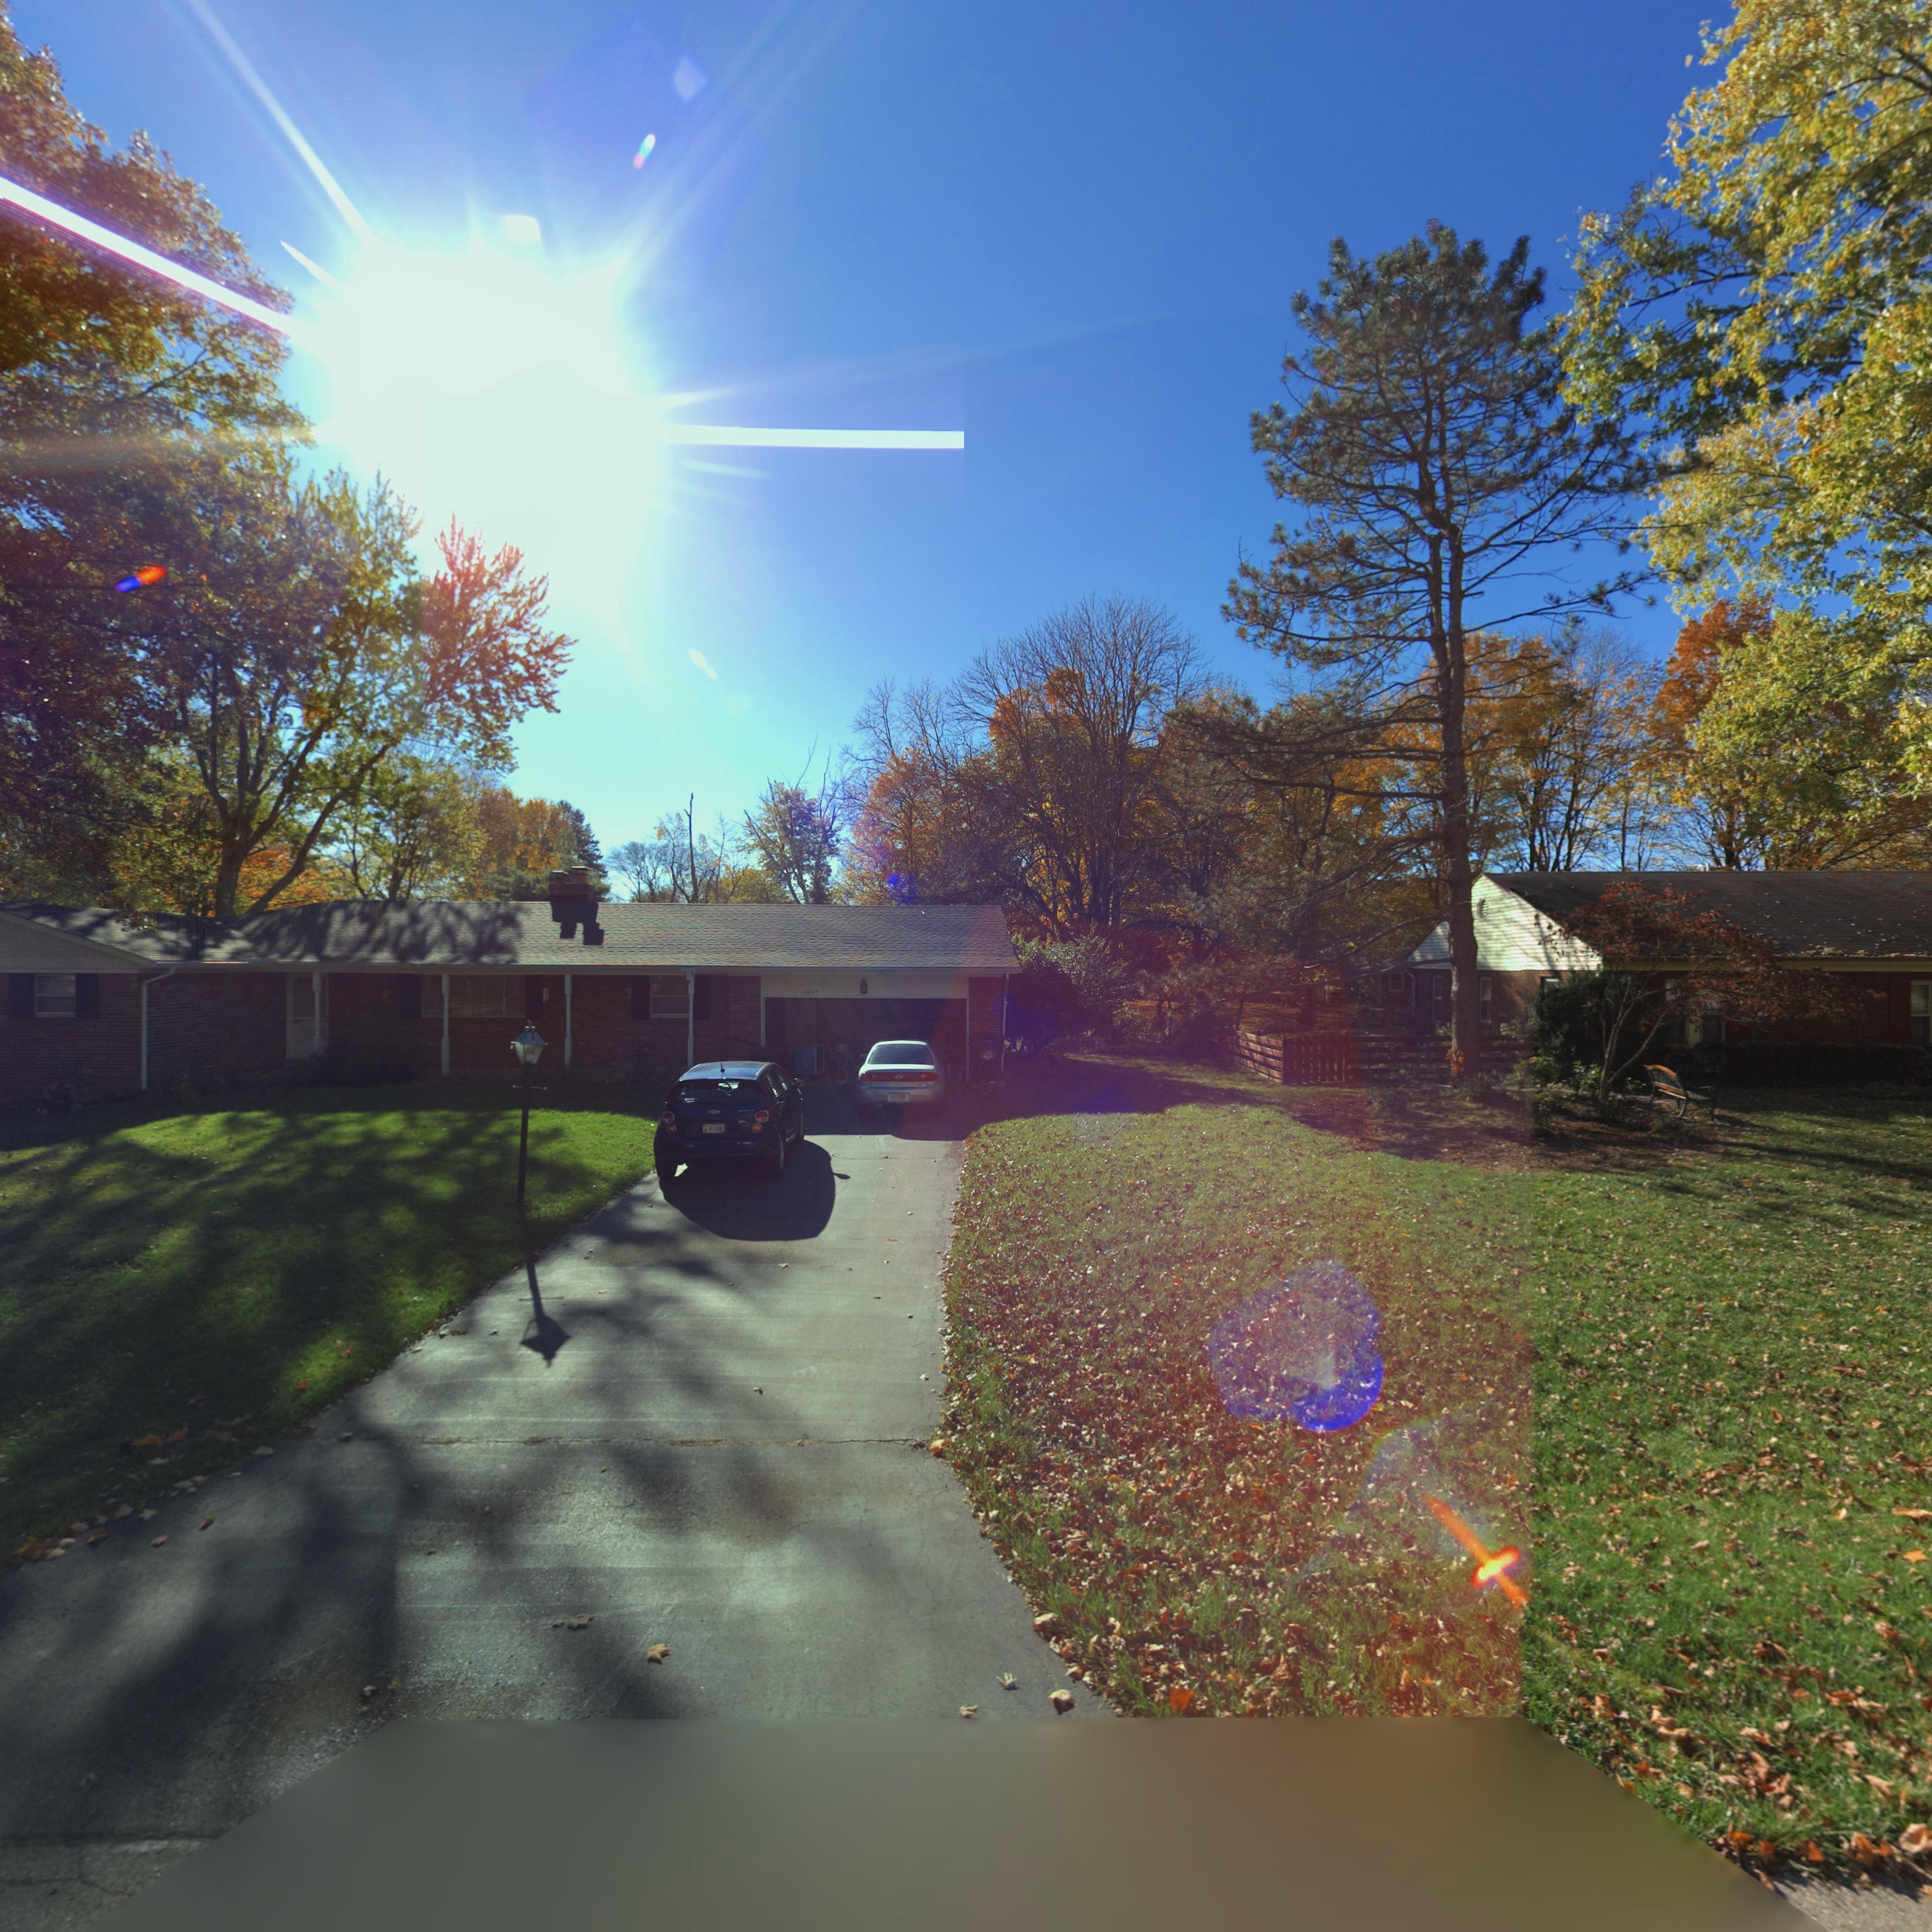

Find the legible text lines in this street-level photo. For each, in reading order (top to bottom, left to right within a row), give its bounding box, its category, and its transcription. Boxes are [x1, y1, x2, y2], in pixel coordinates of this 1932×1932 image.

[802, 988, 819, 994] StreetNumber: 5667